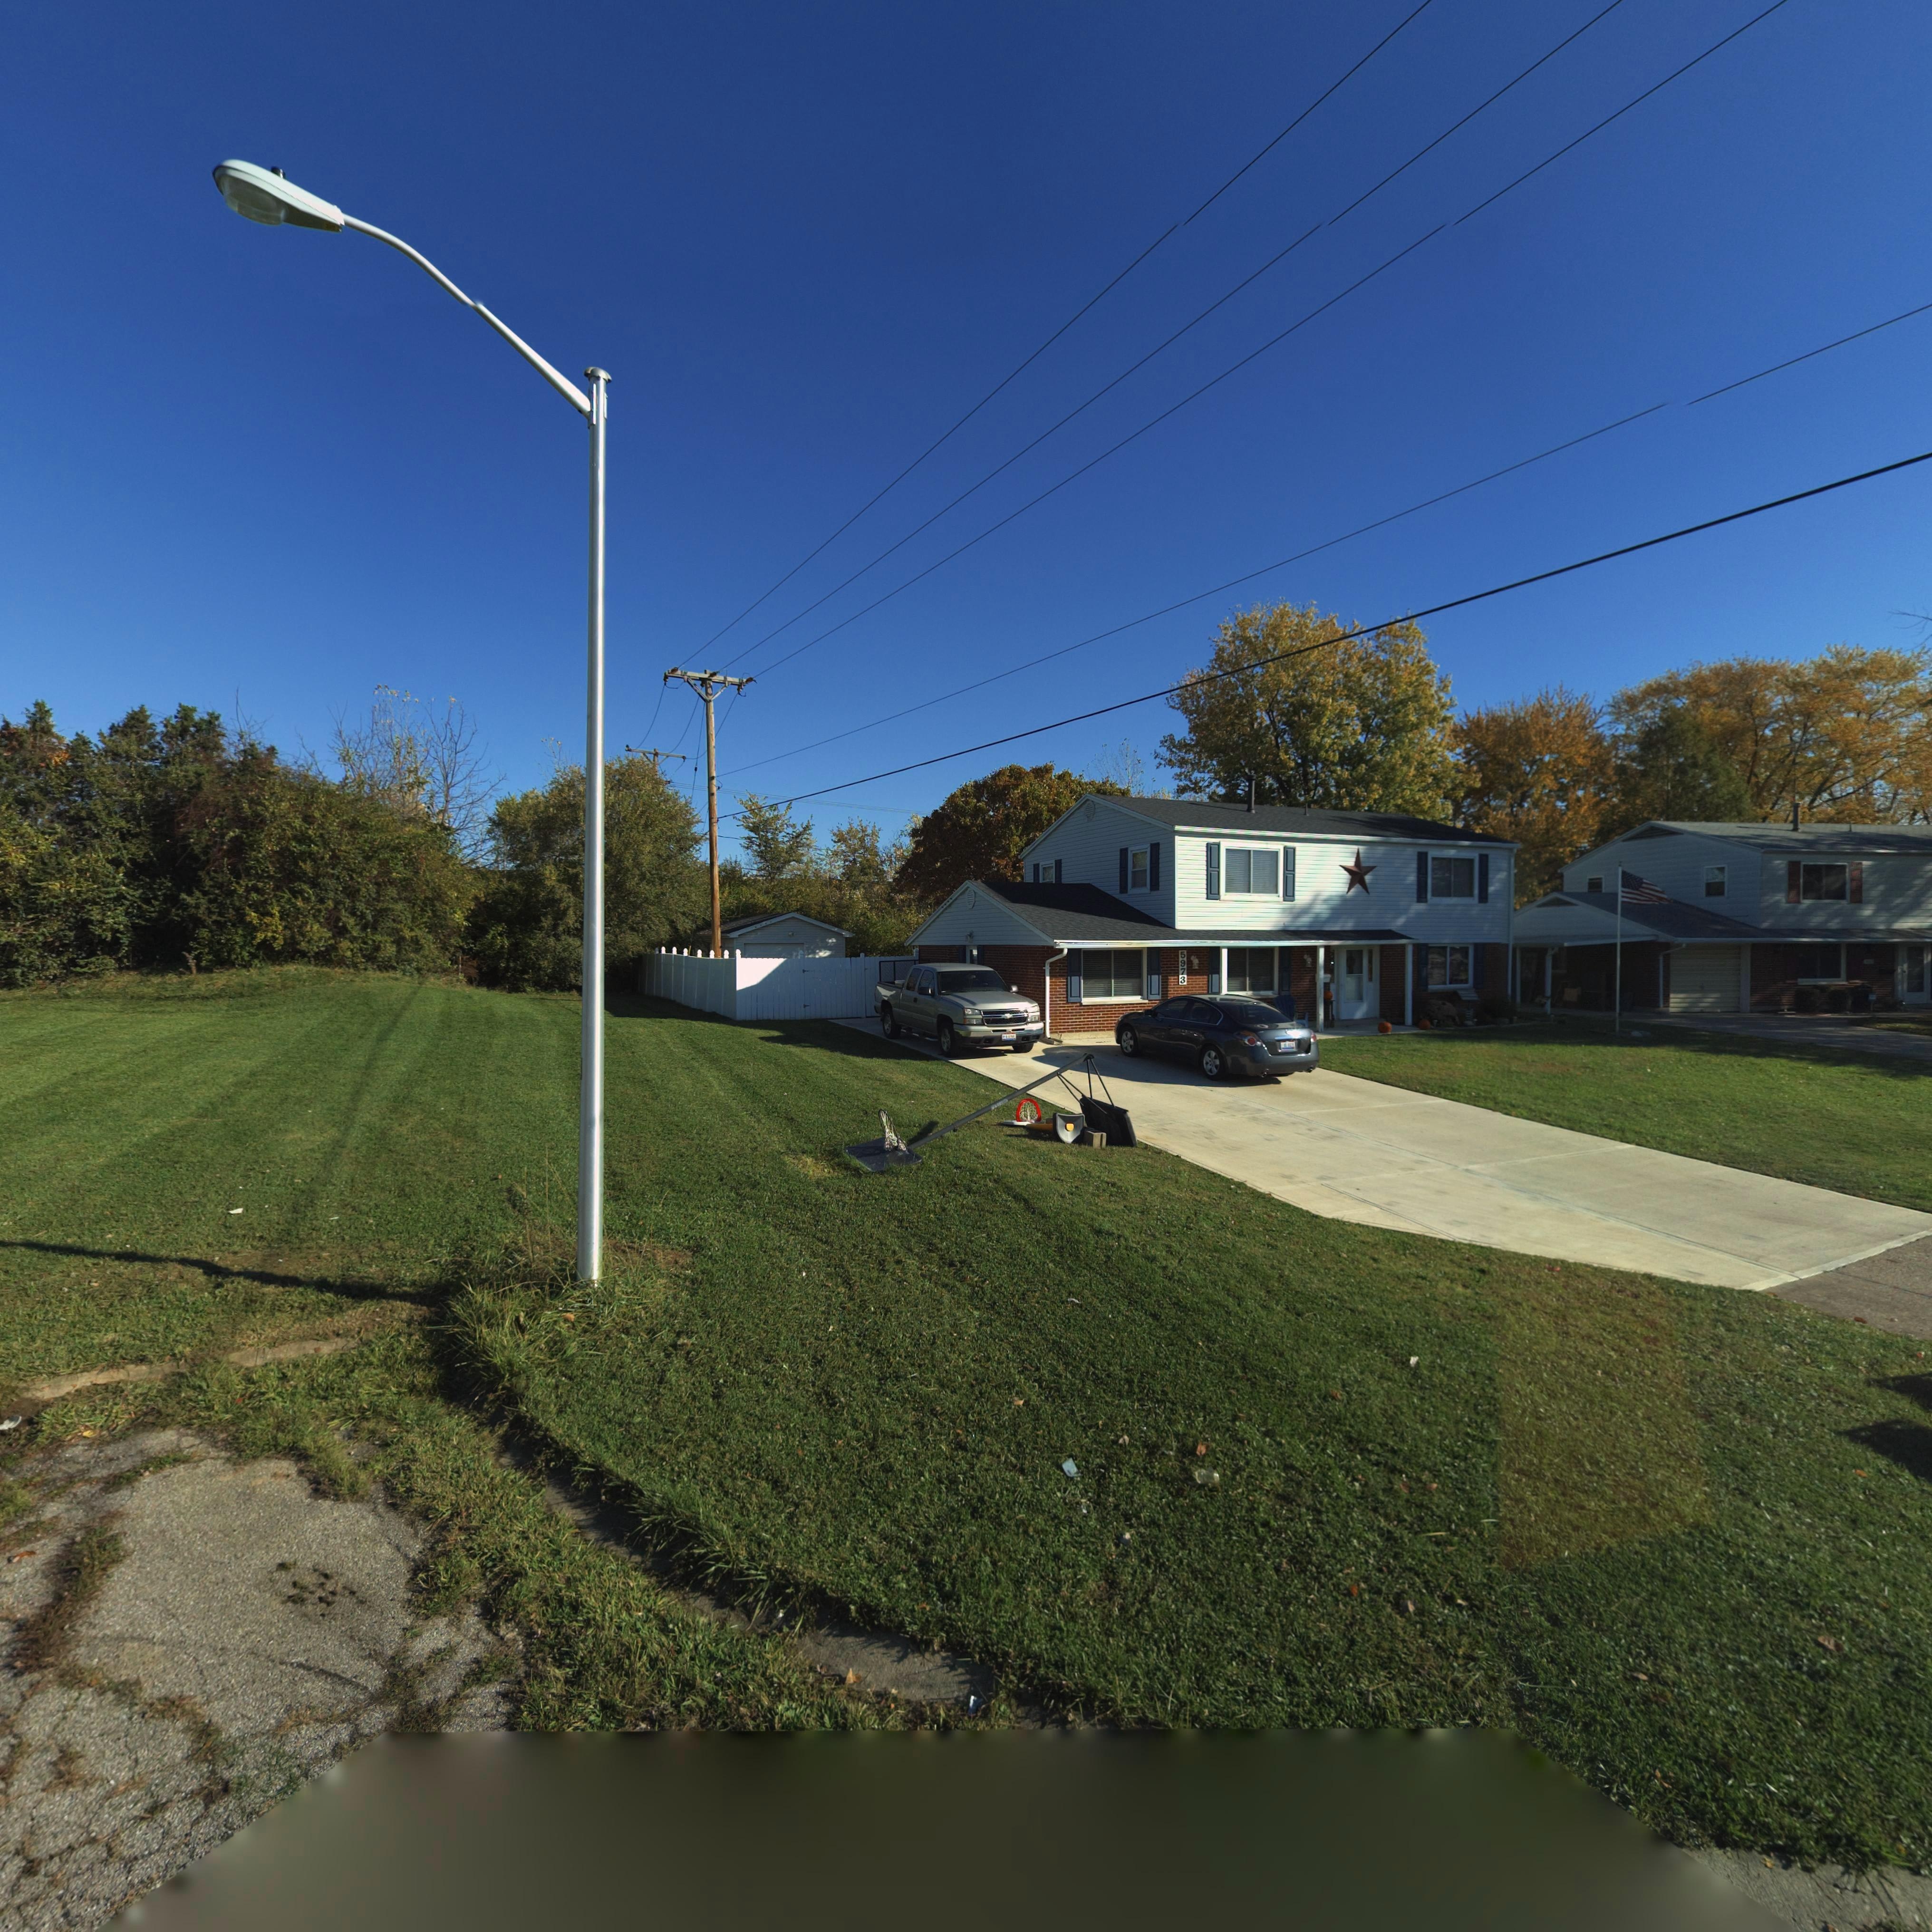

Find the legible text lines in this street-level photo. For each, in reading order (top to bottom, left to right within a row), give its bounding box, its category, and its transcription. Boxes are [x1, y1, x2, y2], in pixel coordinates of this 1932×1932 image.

[1179, 950, 1187, 985] StreetNumber: 5973